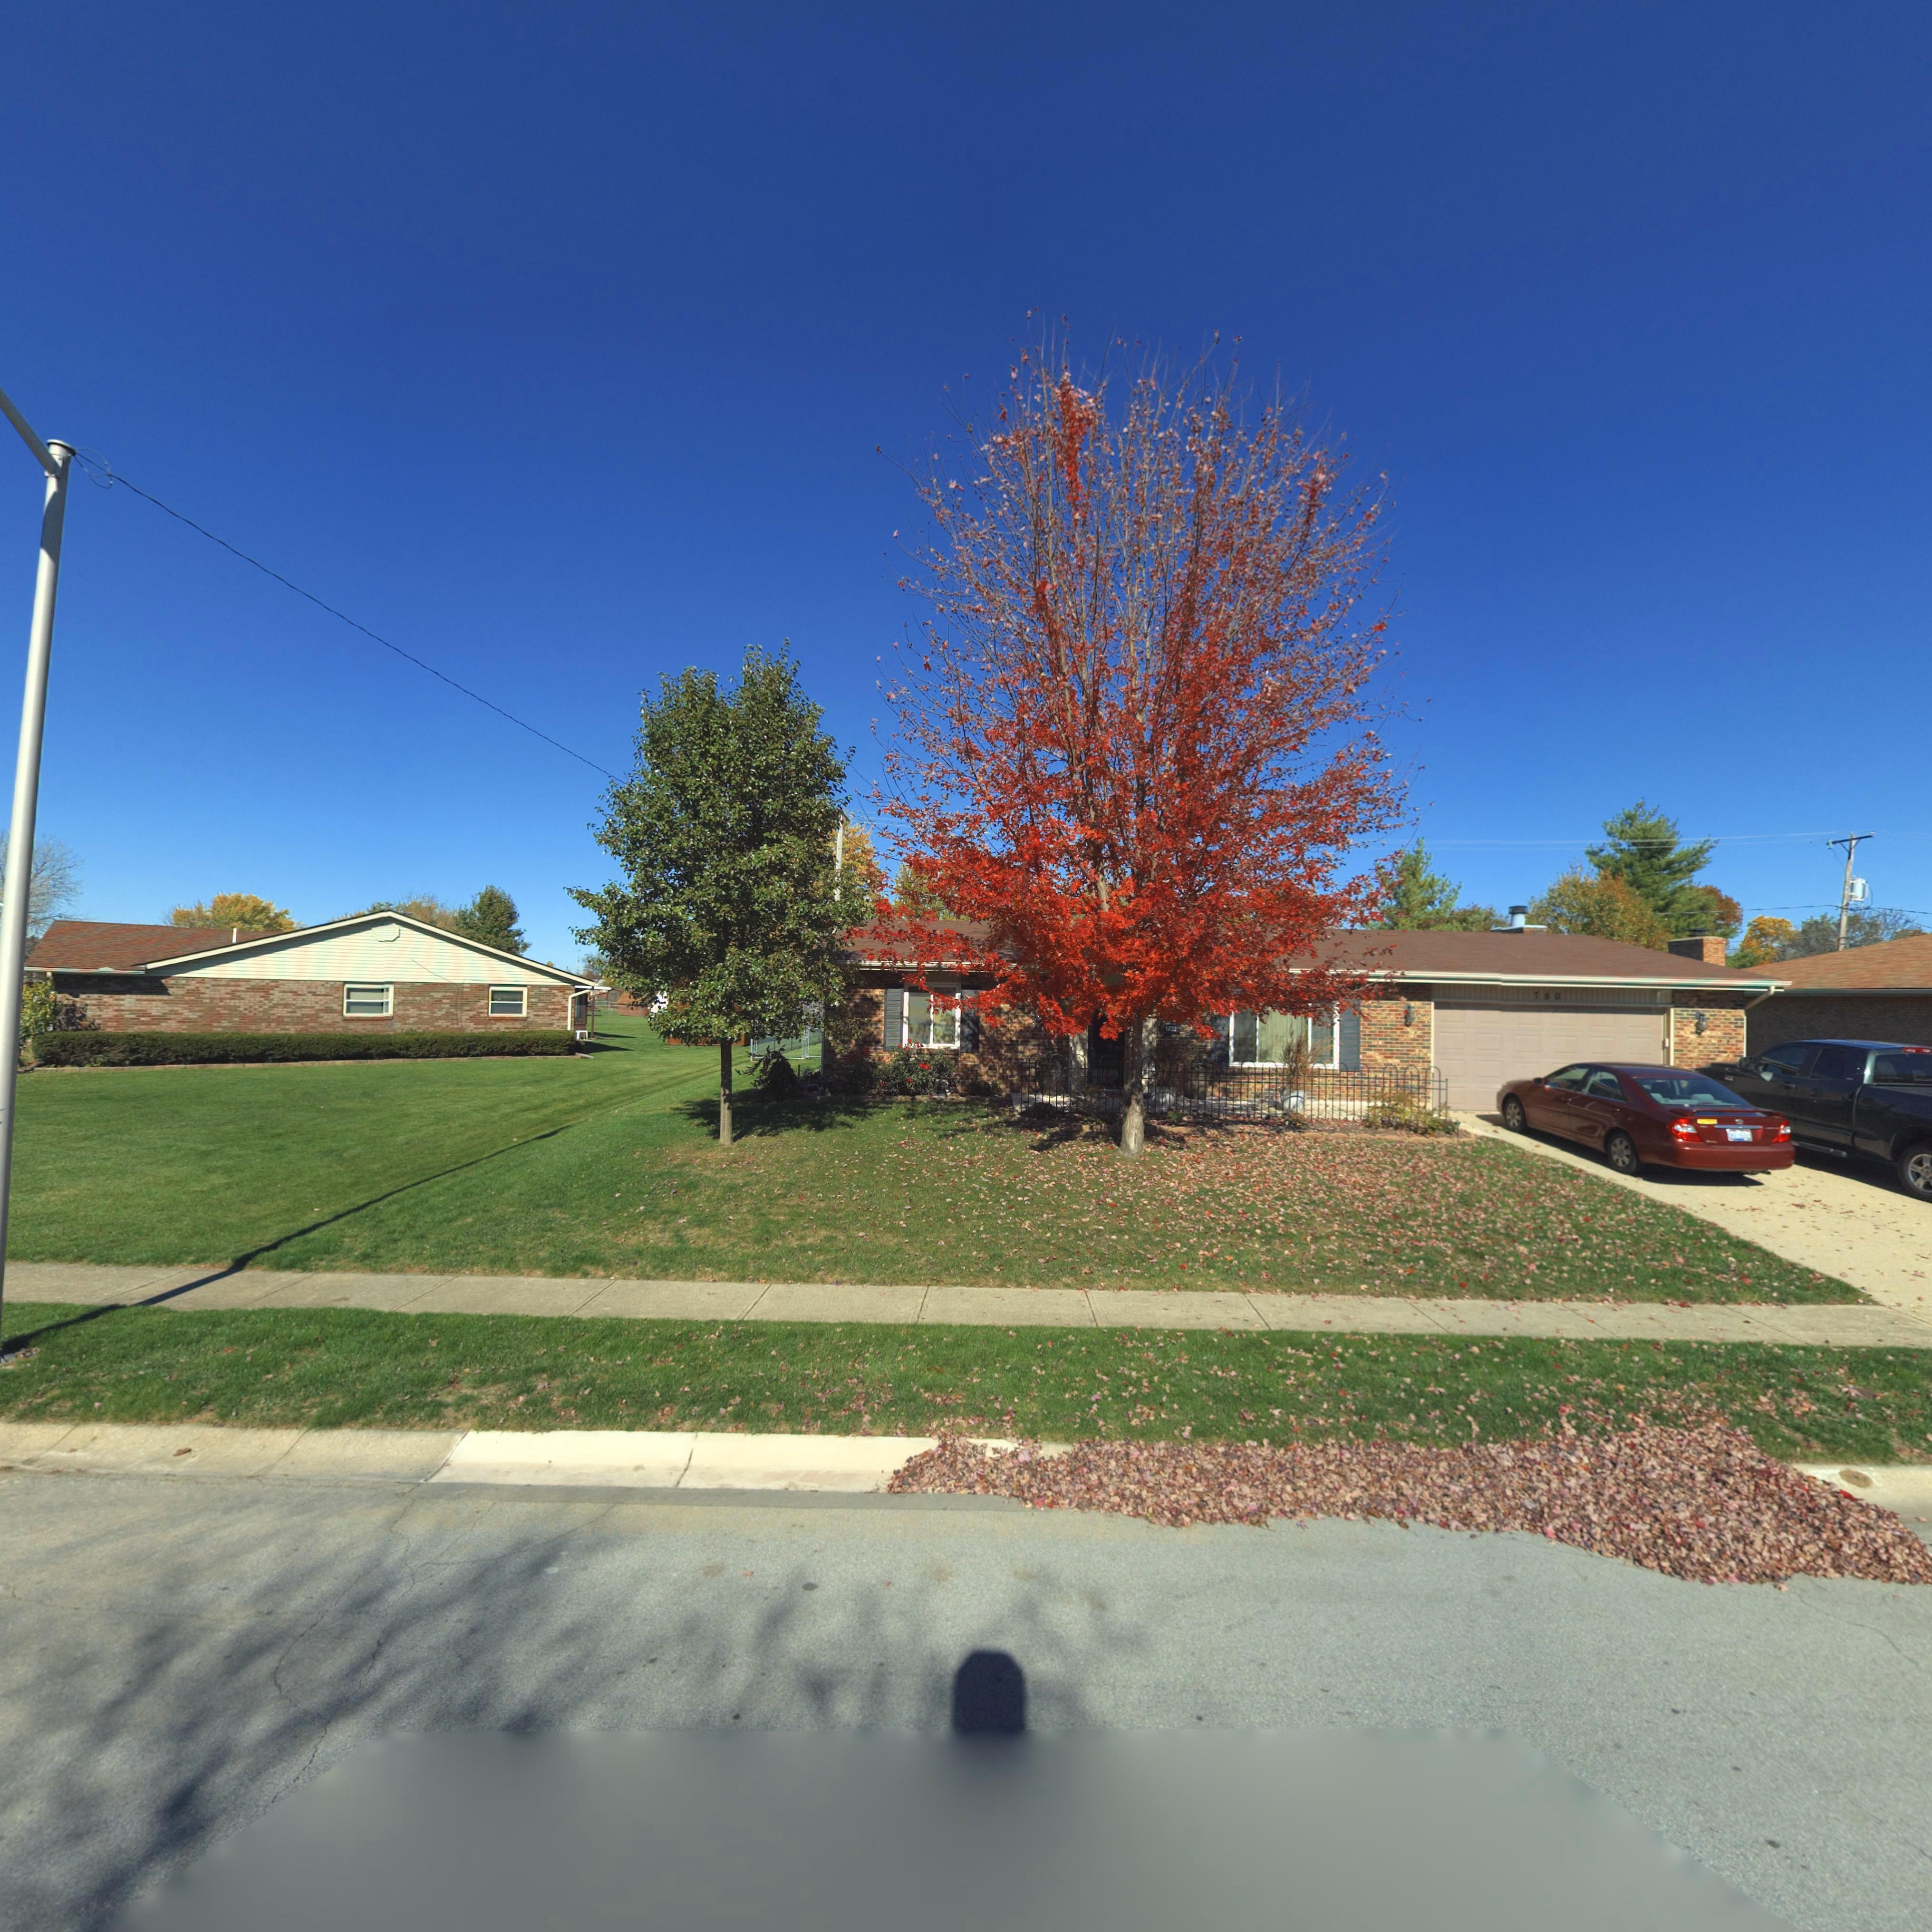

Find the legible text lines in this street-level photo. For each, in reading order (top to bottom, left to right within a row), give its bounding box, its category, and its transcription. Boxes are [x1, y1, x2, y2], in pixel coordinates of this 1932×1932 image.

[1533, 991, 1561, 1001] StreetNumber: 780